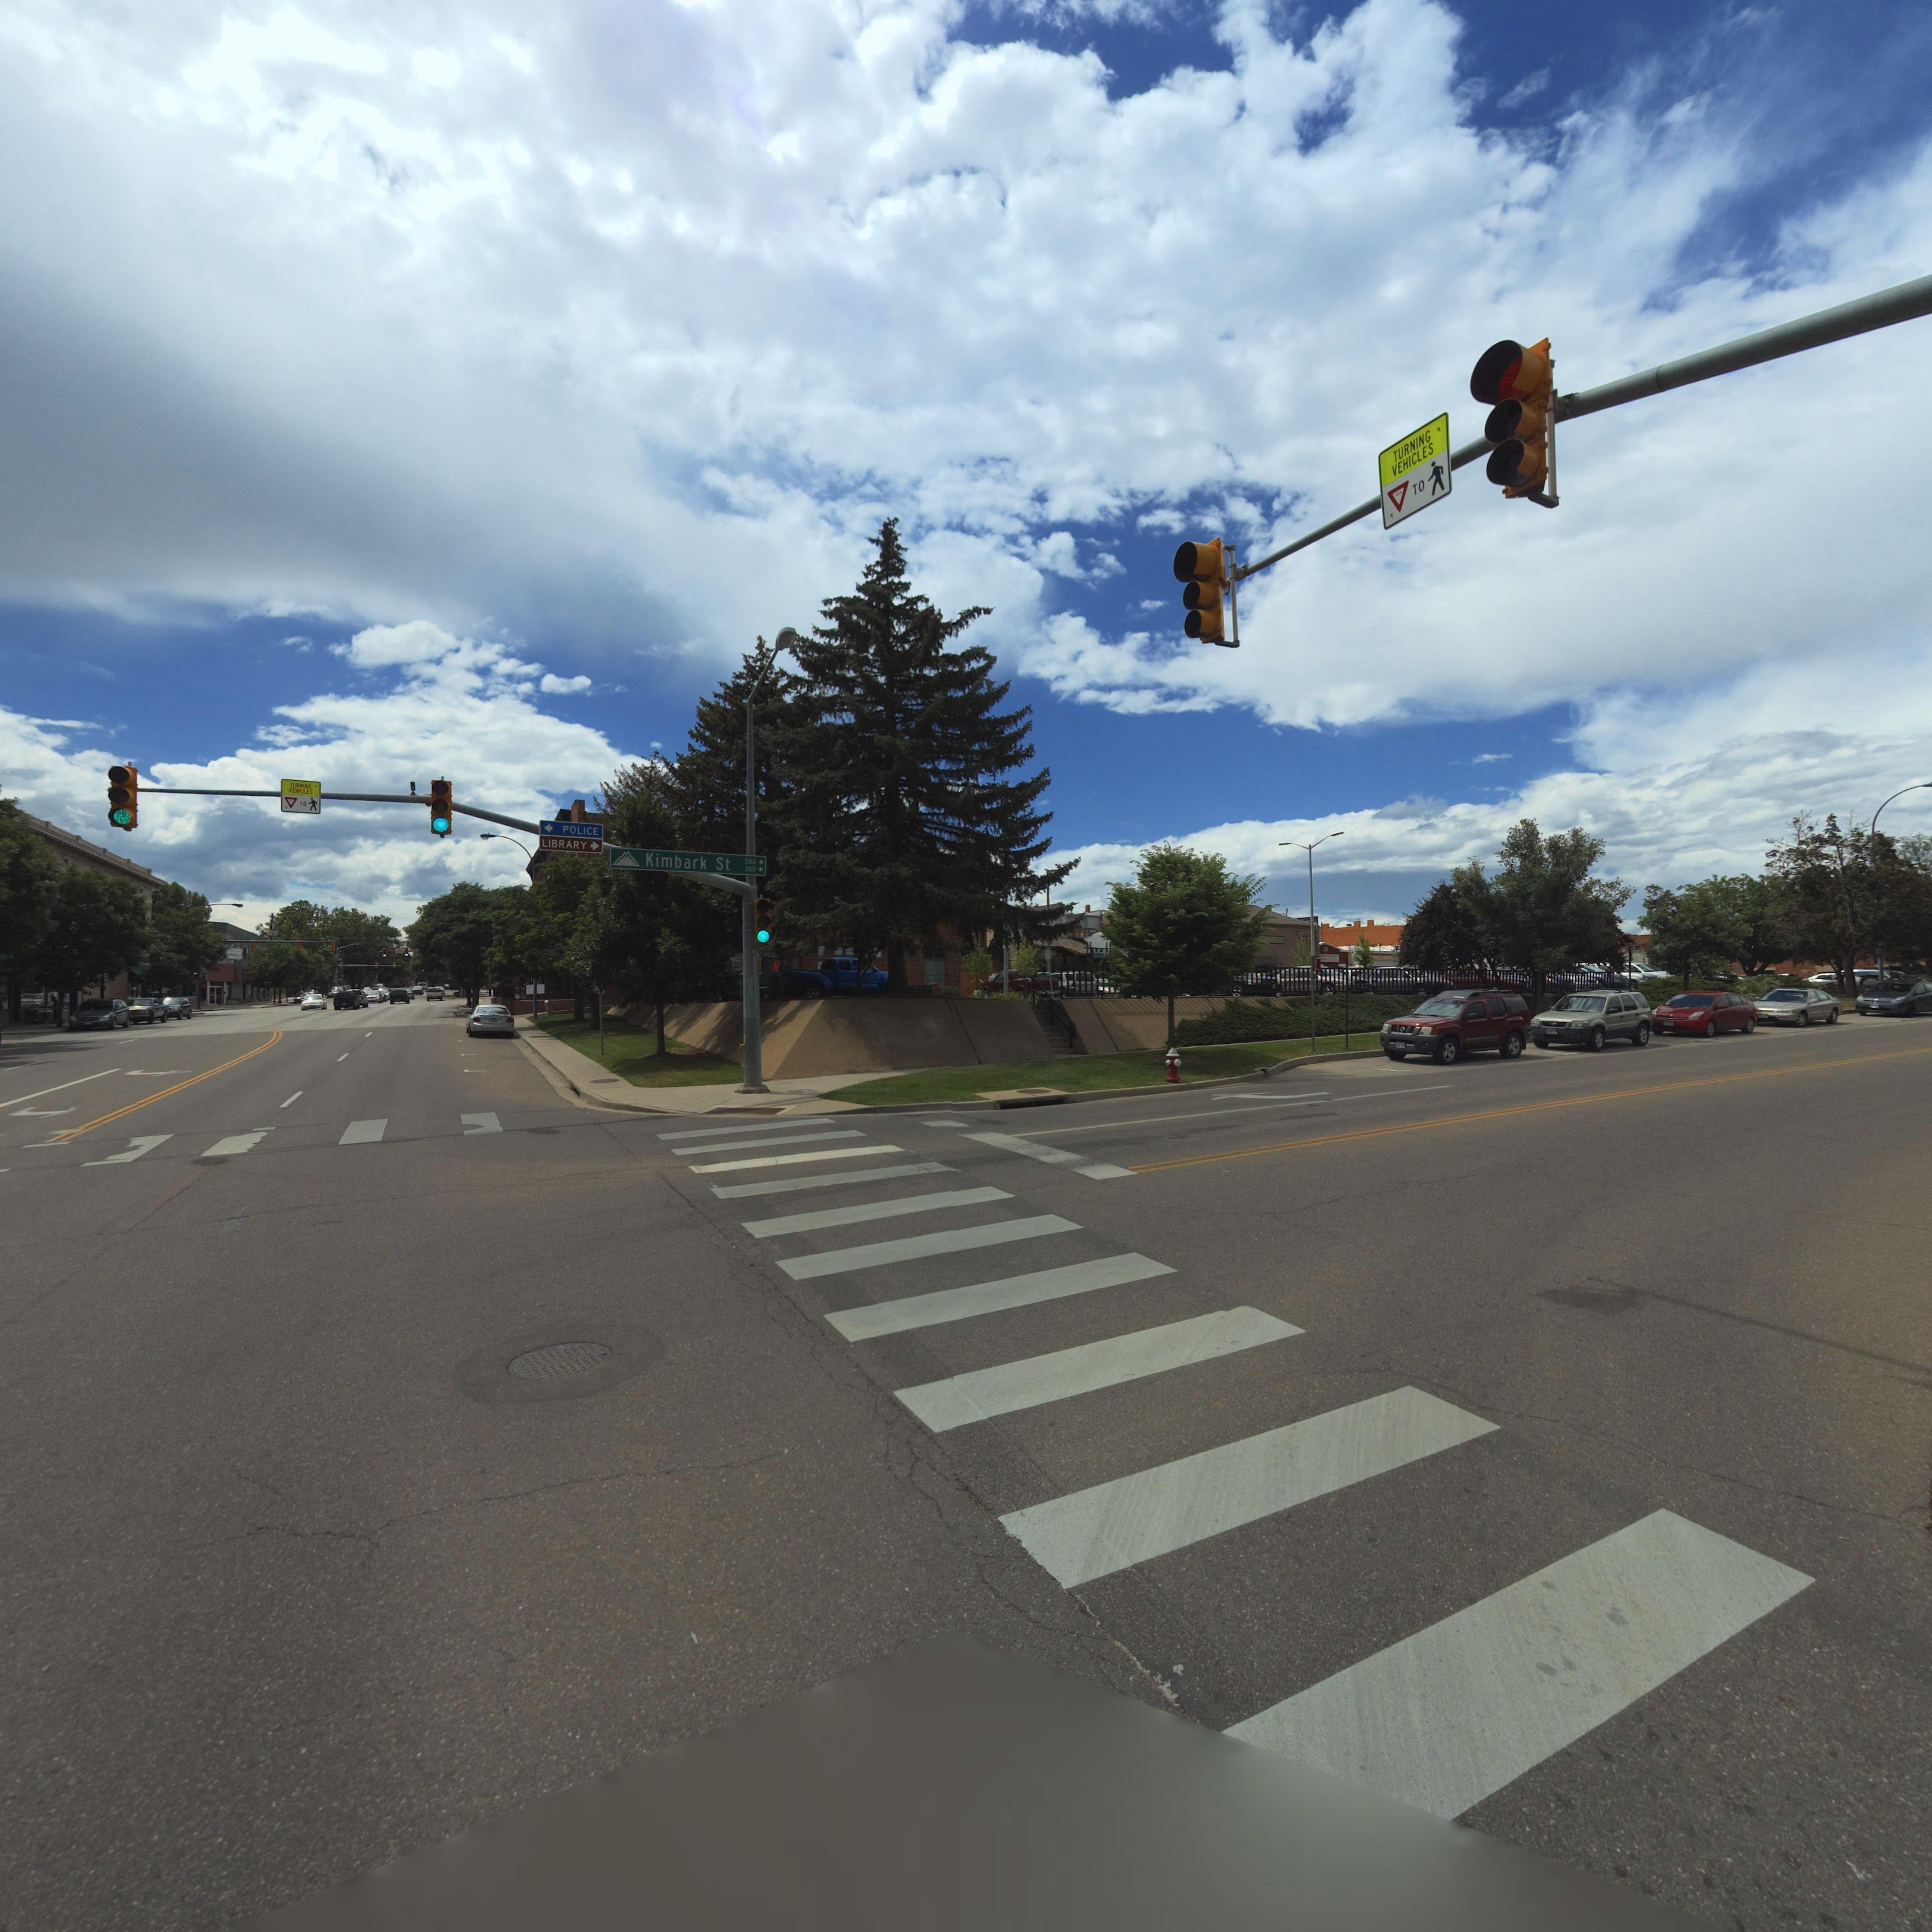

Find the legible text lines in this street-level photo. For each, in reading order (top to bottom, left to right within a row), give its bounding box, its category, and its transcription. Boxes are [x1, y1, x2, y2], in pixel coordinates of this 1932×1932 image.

[645, 852, 731, 871] StreetName: Kimbark St
[744, 858, 756, 864] StreetNumberRange: 500
[744, 866, 763, 872] StreetNumberRange: 300 ->